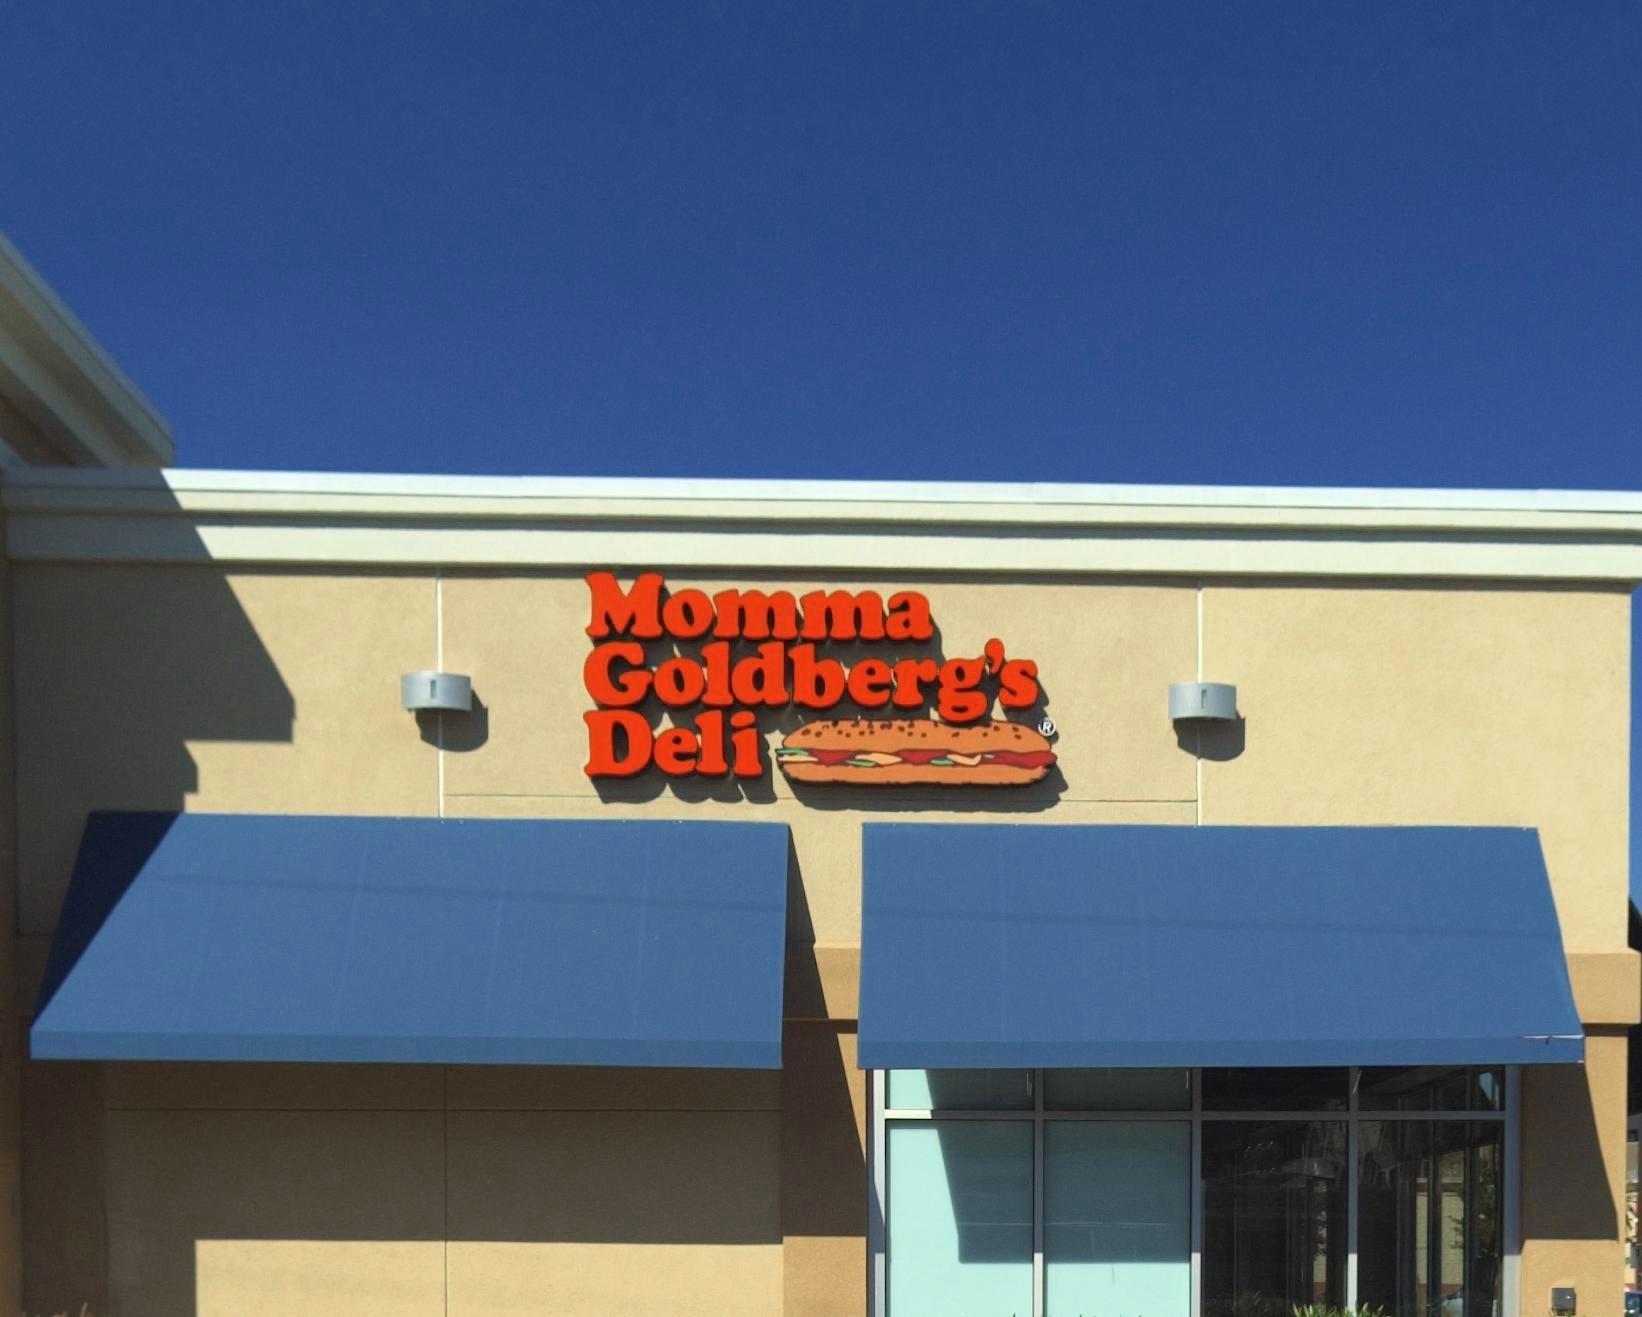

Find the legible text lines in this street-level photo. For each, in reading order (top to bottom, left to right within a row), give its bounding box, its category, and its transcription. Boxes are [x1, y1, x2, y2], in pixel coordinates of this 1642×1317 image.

[584, 572, 935, 641] BusinessName: Momma
[582, 636, 1040, 724] BusinessName: Goldberg's
[582, 707, 765, 778] BusinessName: Deli